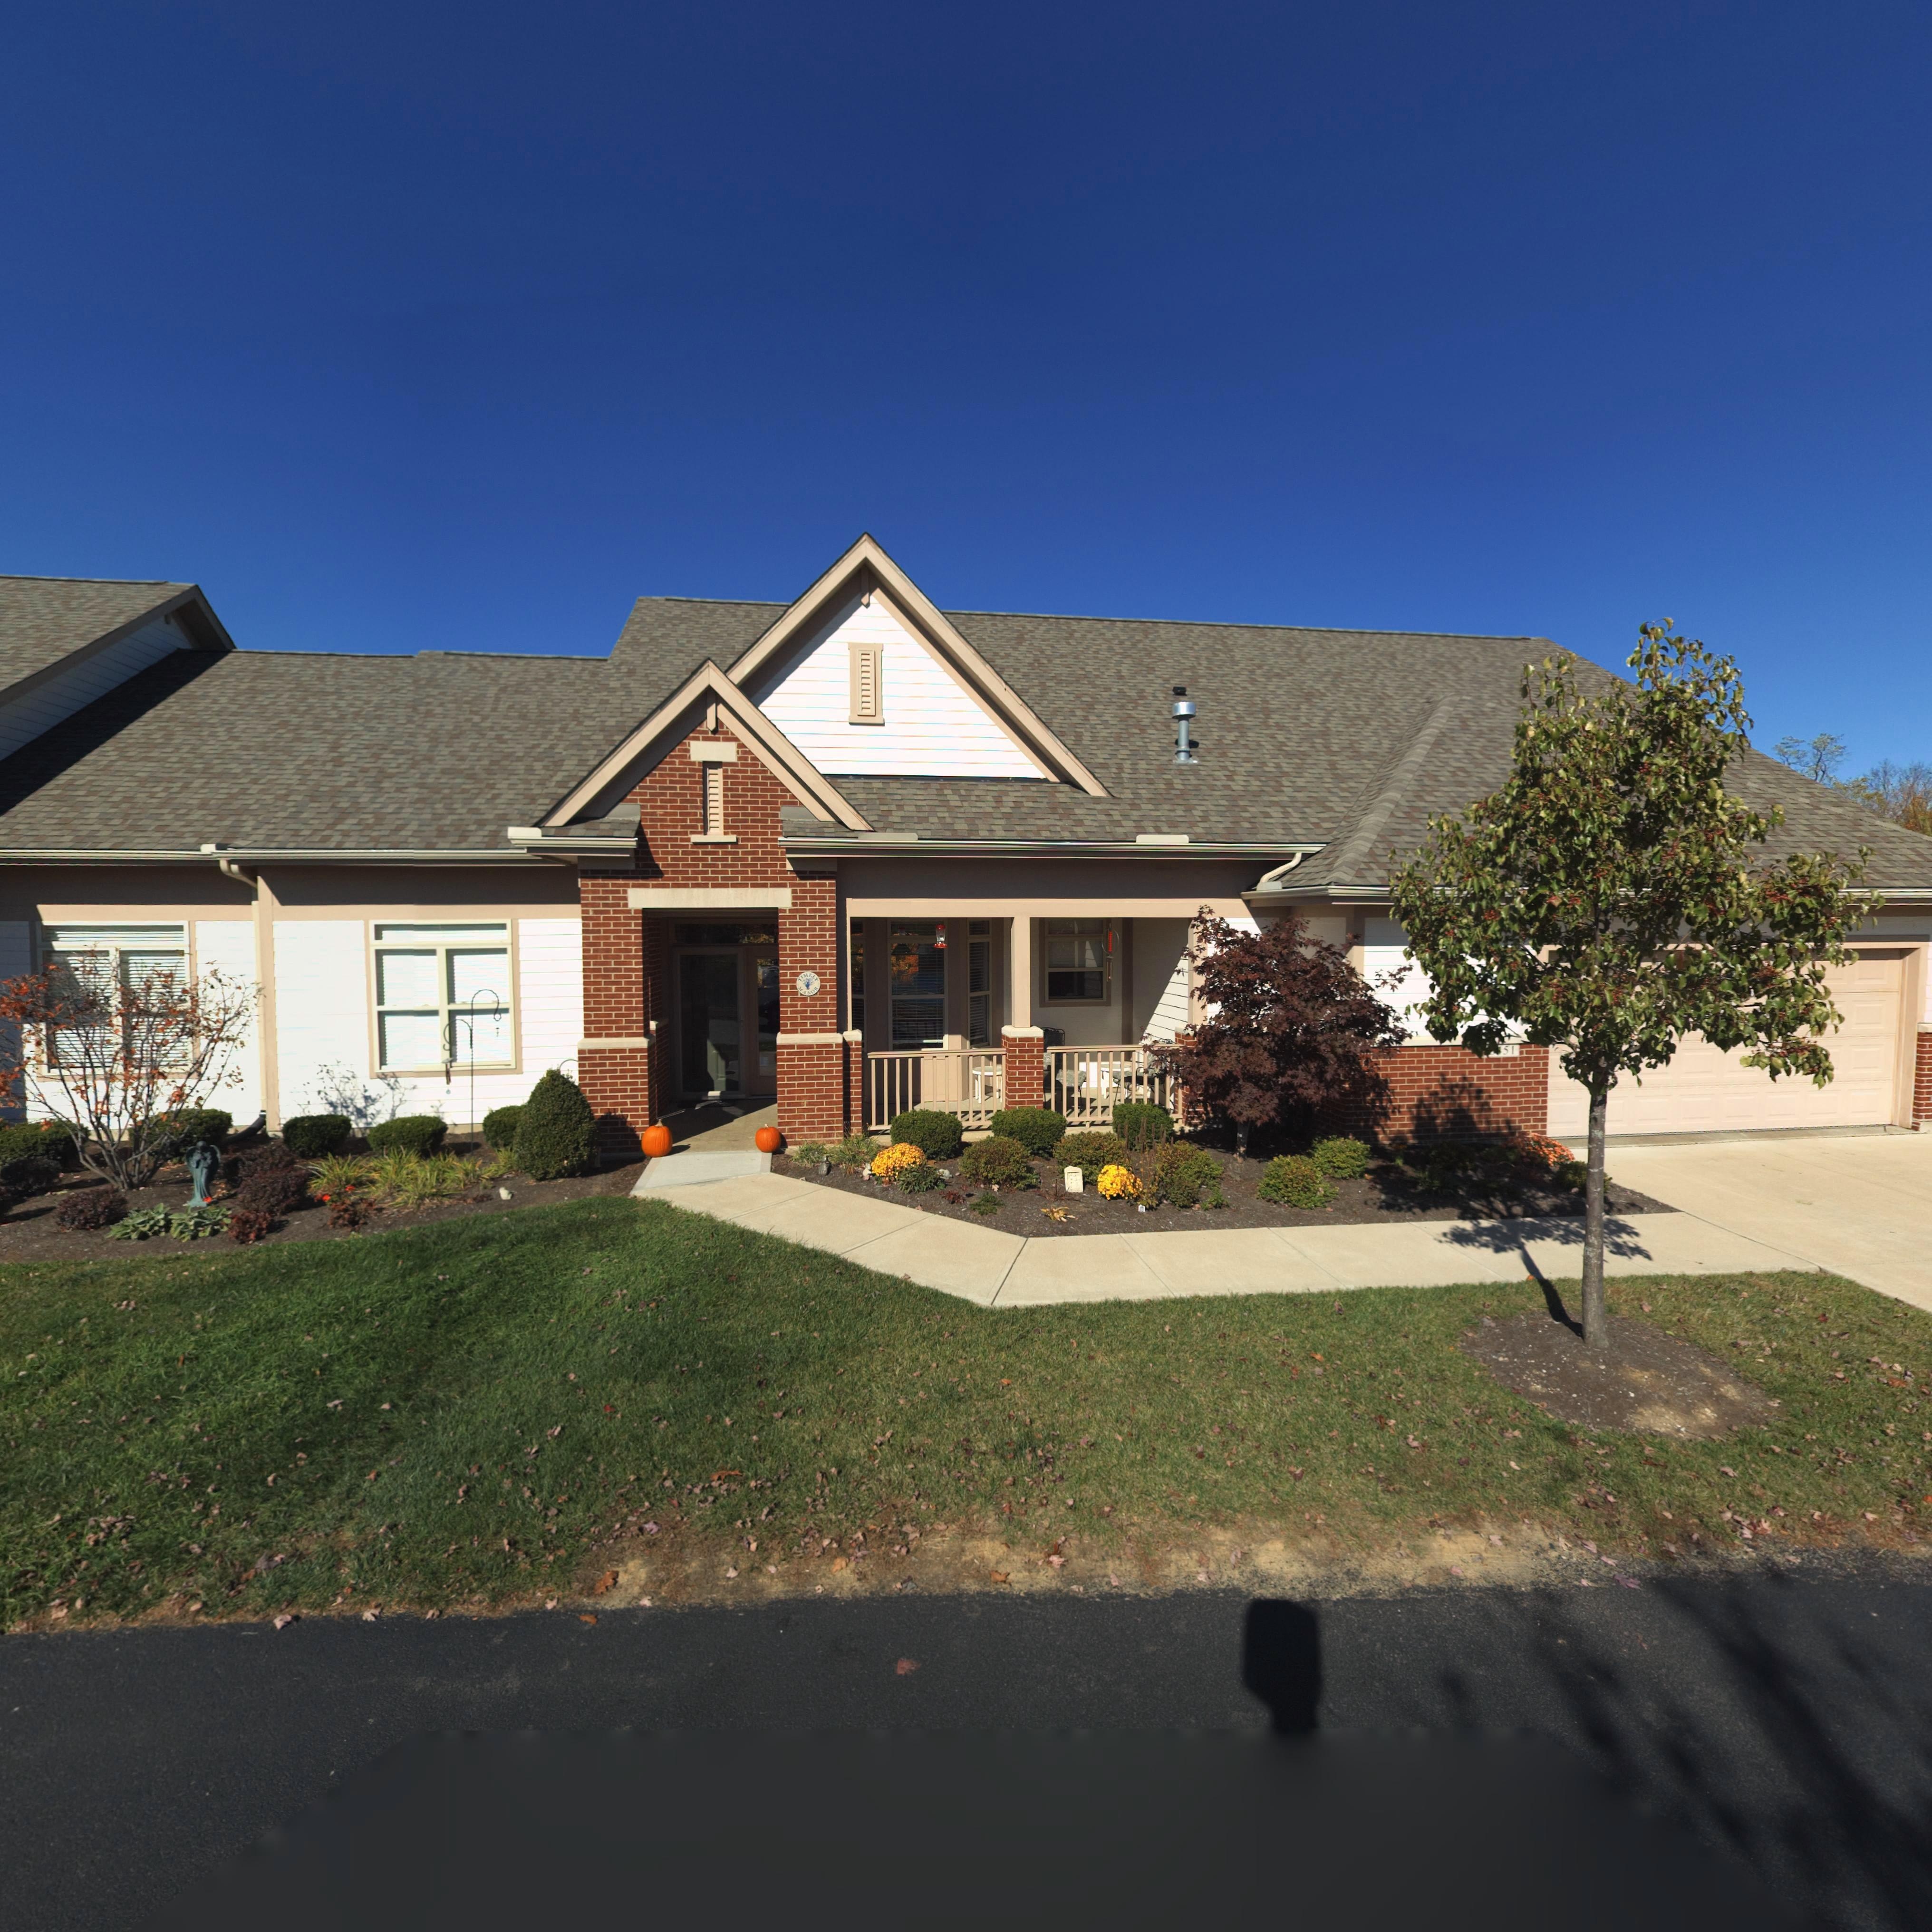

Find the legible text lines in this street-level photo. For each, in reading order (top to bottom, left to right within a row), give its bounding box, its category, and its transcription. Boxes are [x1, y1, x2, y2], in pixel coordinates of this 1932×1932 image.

[1503, 1045, 1515, 1056] StreetNumber: 51